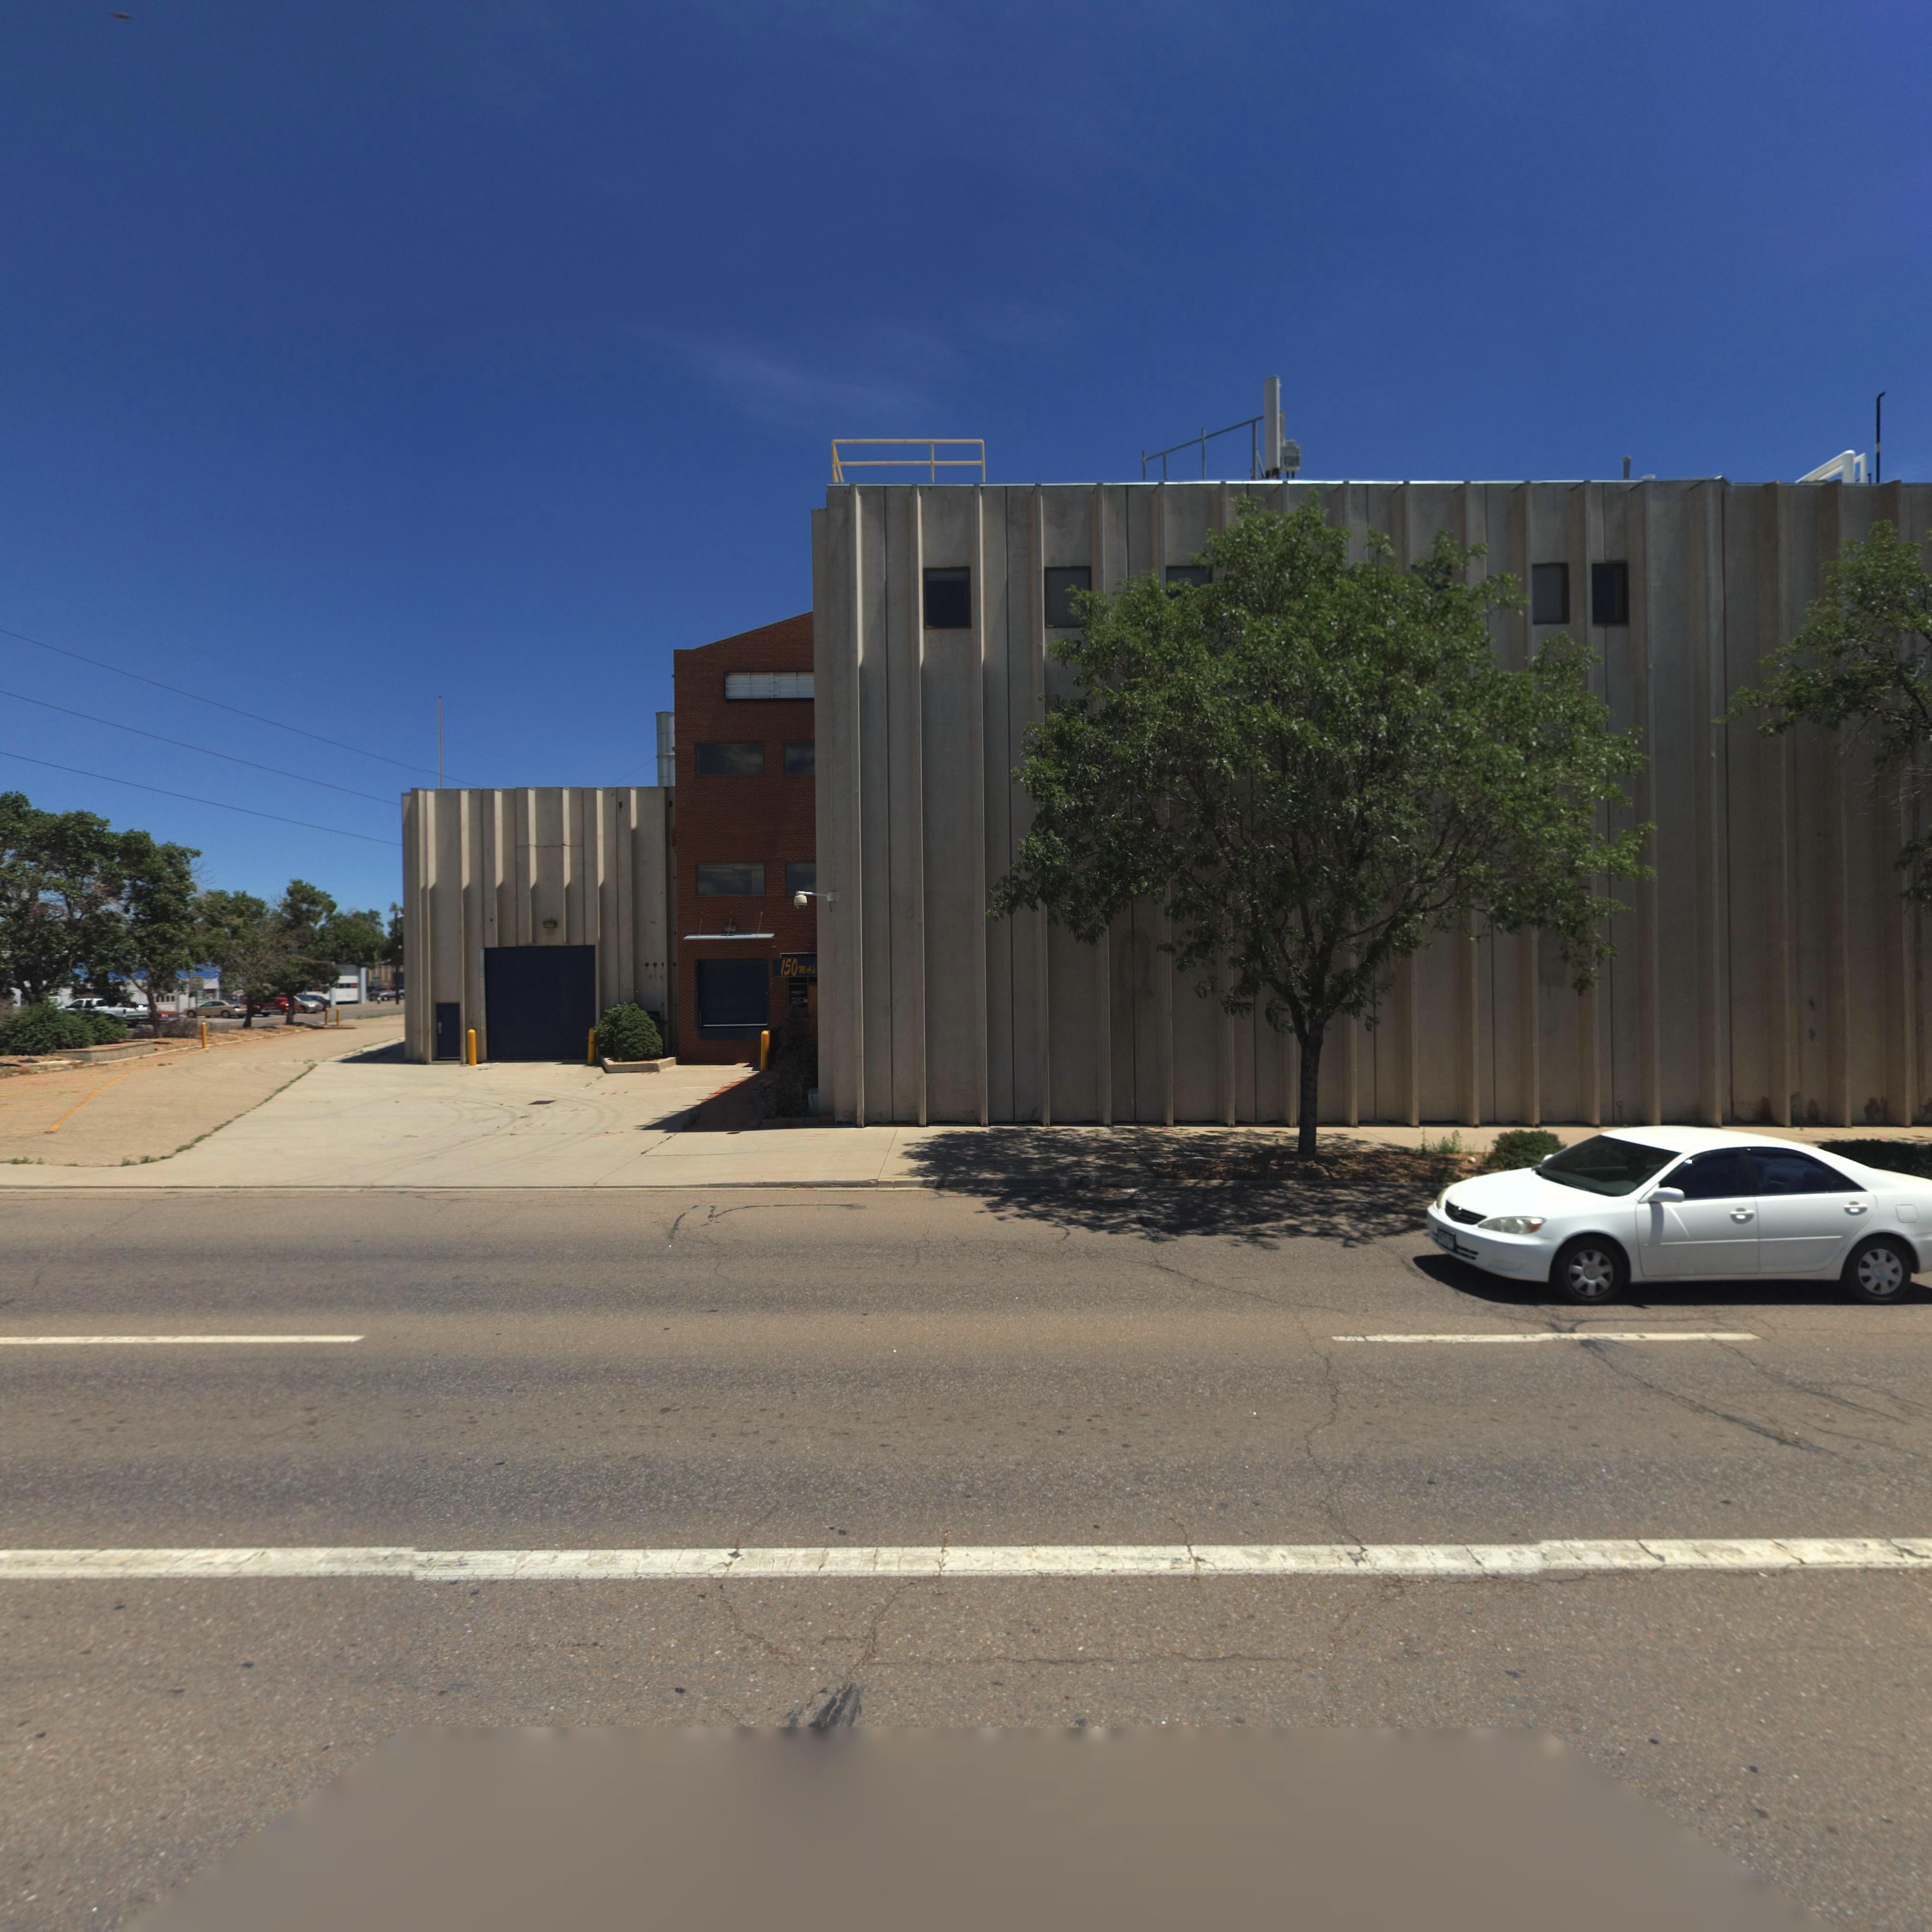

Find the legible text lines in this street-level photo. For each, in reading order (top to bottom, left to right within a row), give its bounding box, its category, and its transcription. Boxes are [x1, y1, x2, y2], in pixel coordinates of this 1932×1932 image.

[780, 957, 798, 976] StreetNumber: 150
[798, 964, 816, 975] StreetName: MAI